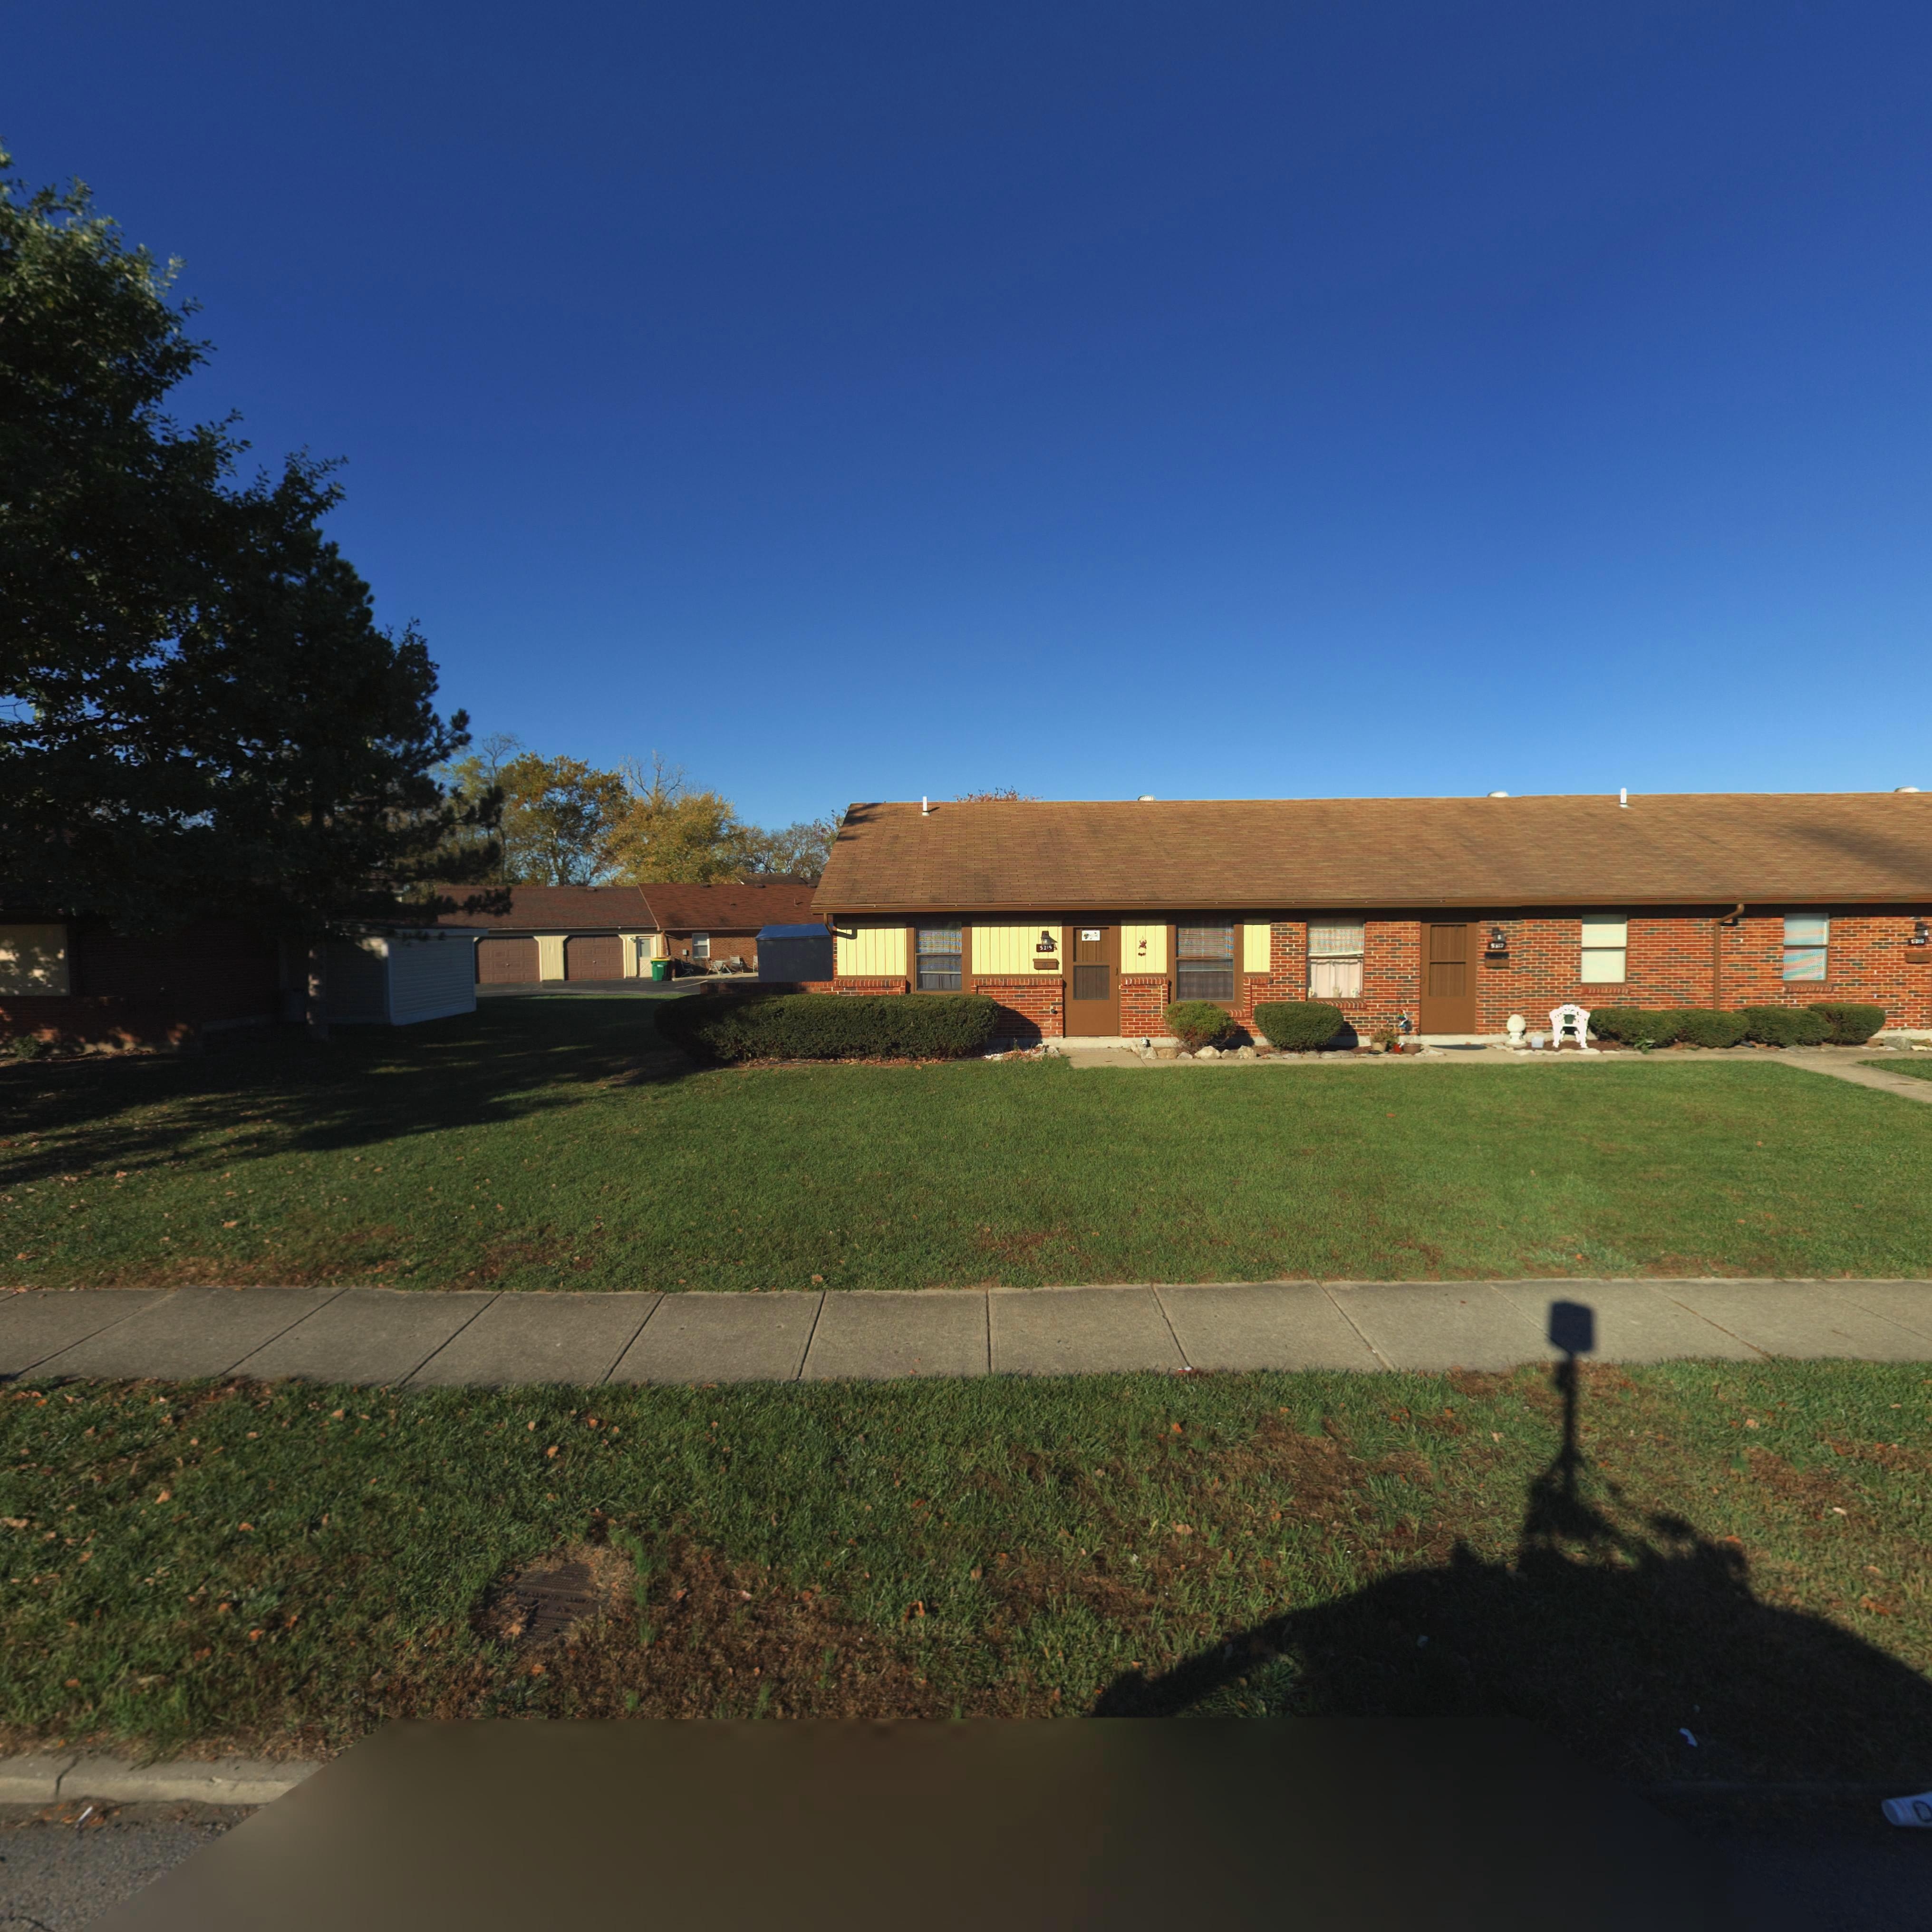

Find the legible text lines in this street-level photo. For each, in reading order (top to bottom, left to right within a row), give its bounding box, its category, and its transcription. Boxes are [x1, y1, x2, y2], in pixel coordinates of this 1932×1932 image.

[1910, 938, 1925, 944] StreetNumber: 5315
[1039, 945, 1053, 951] StreetNumber: 5319
[1490, 943, 1505, 949] StreetNumber: 5317